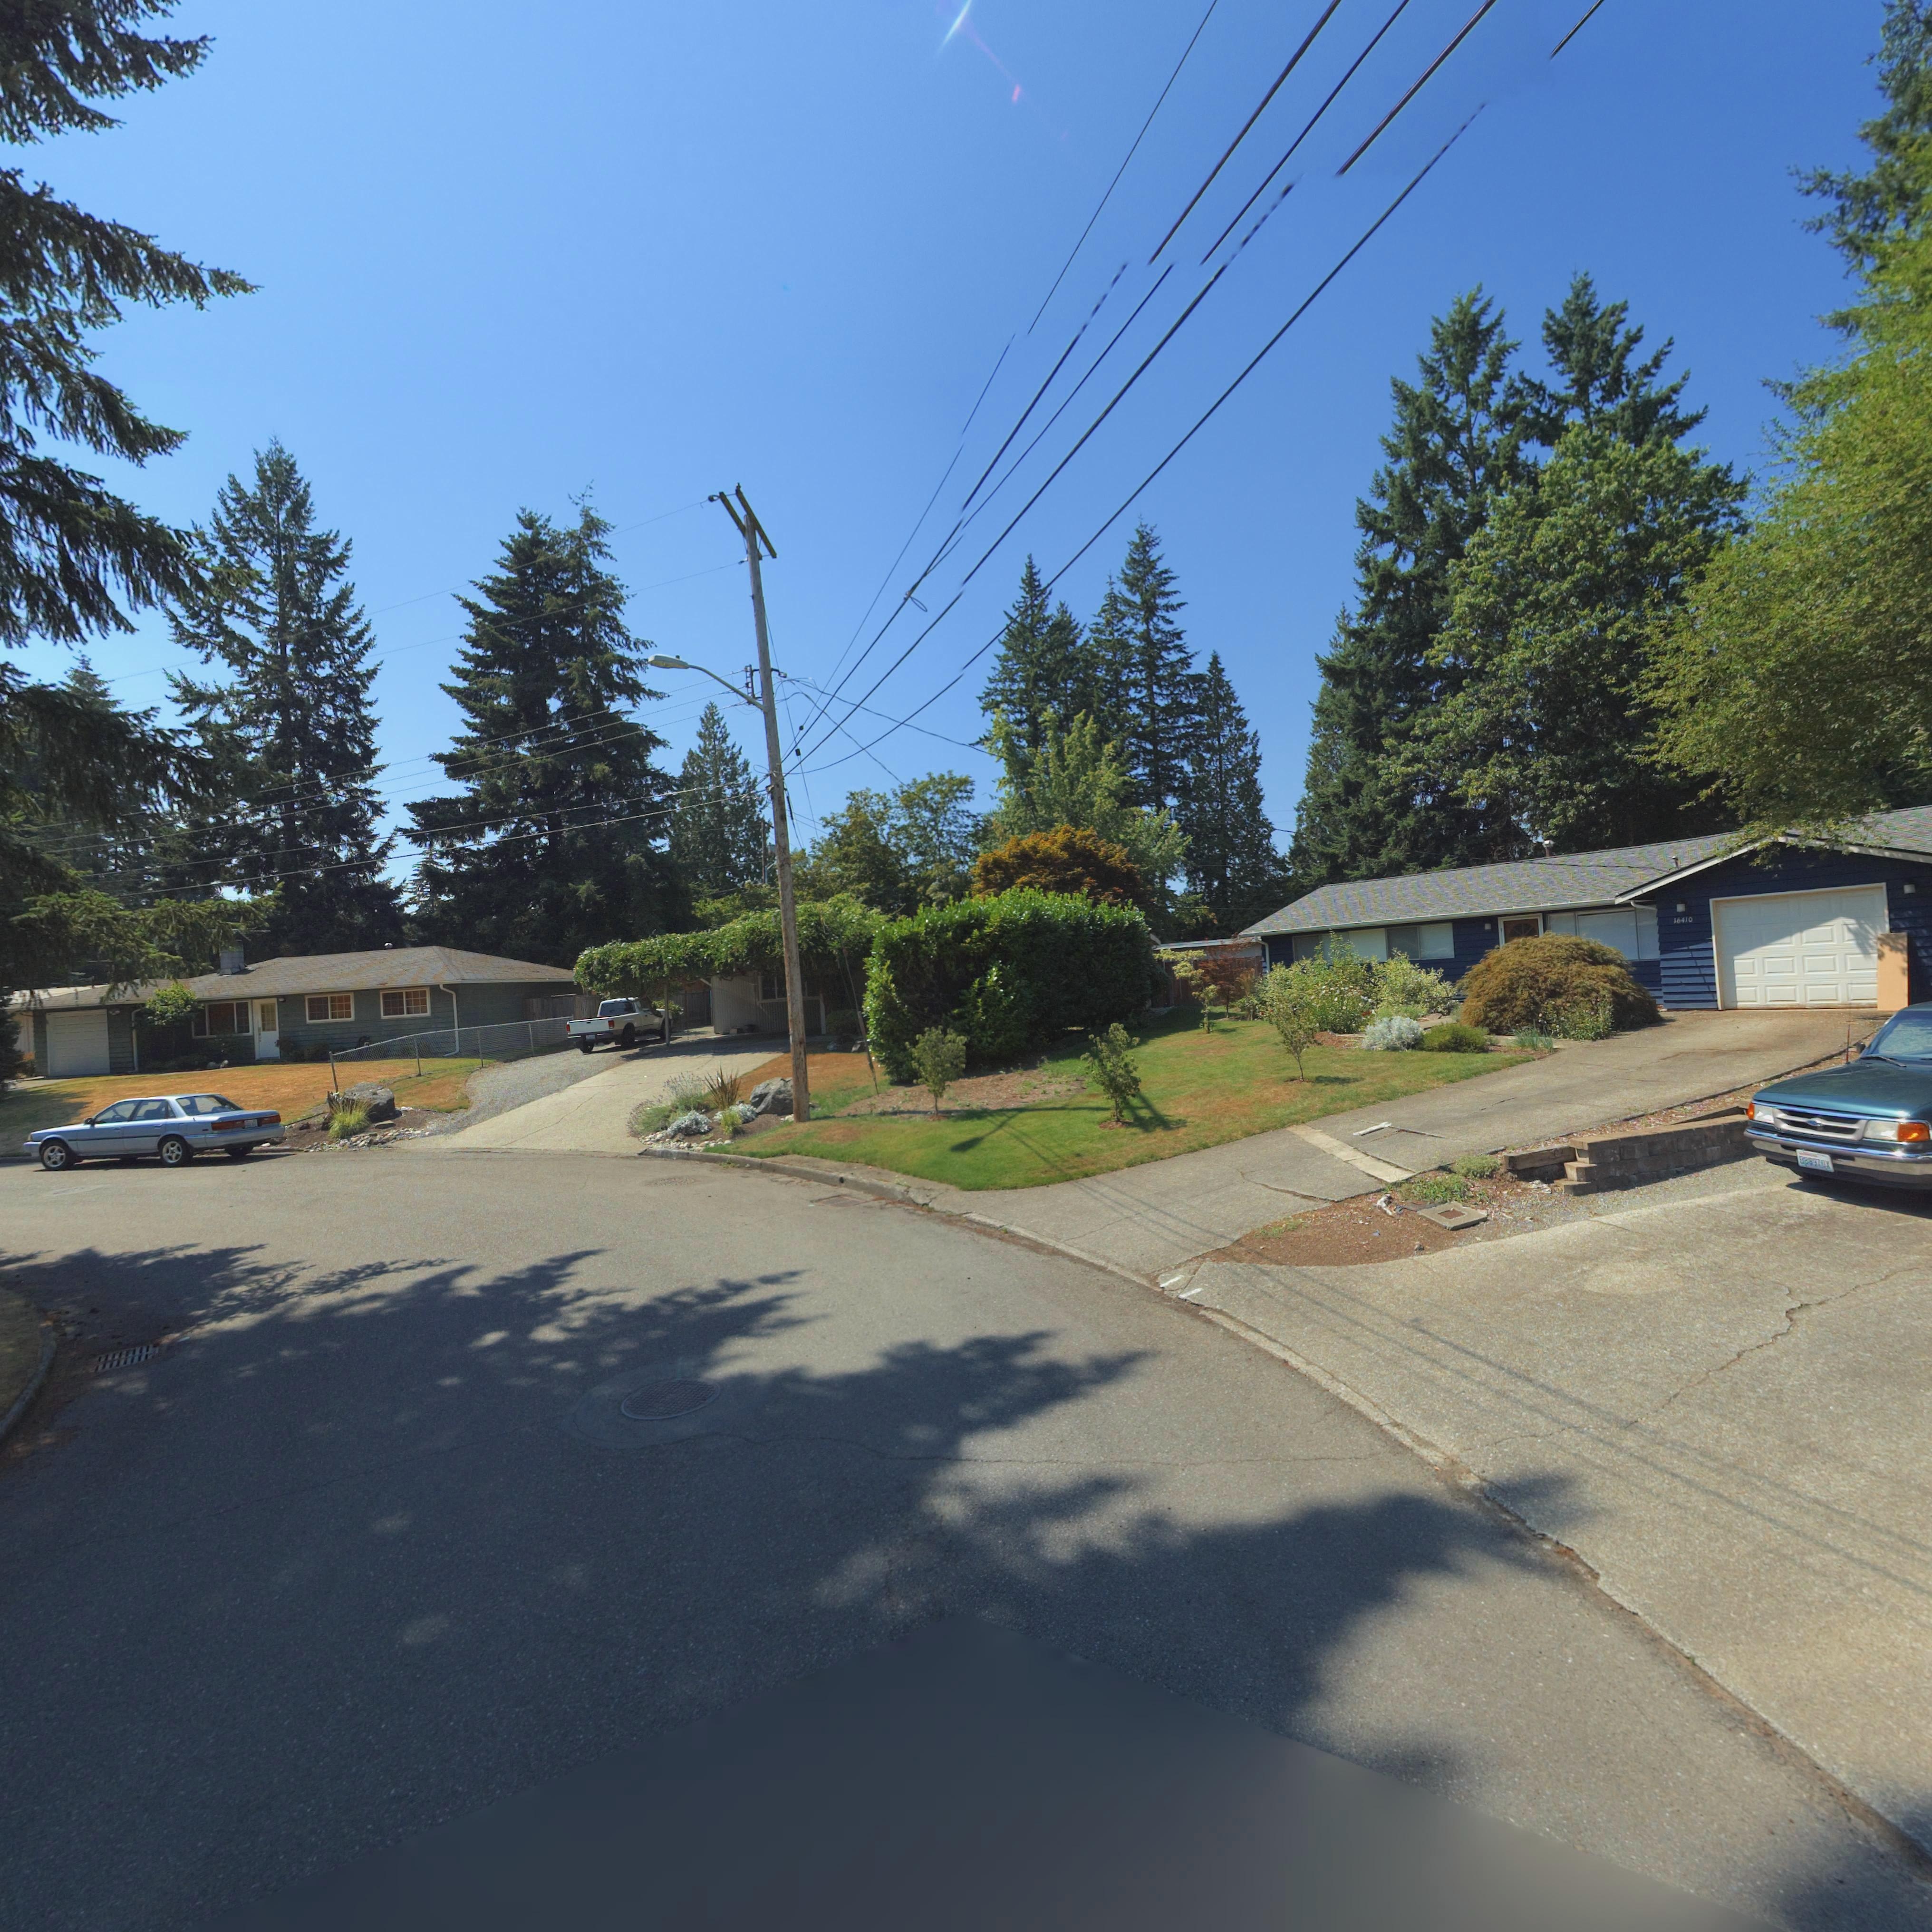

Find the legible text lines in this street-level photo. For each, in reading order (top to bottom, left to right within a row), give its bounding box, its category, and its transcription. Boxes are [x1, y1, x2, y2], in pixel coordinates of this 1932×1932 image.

[1673, 916, 1693, 924] StreetNumber: 16410